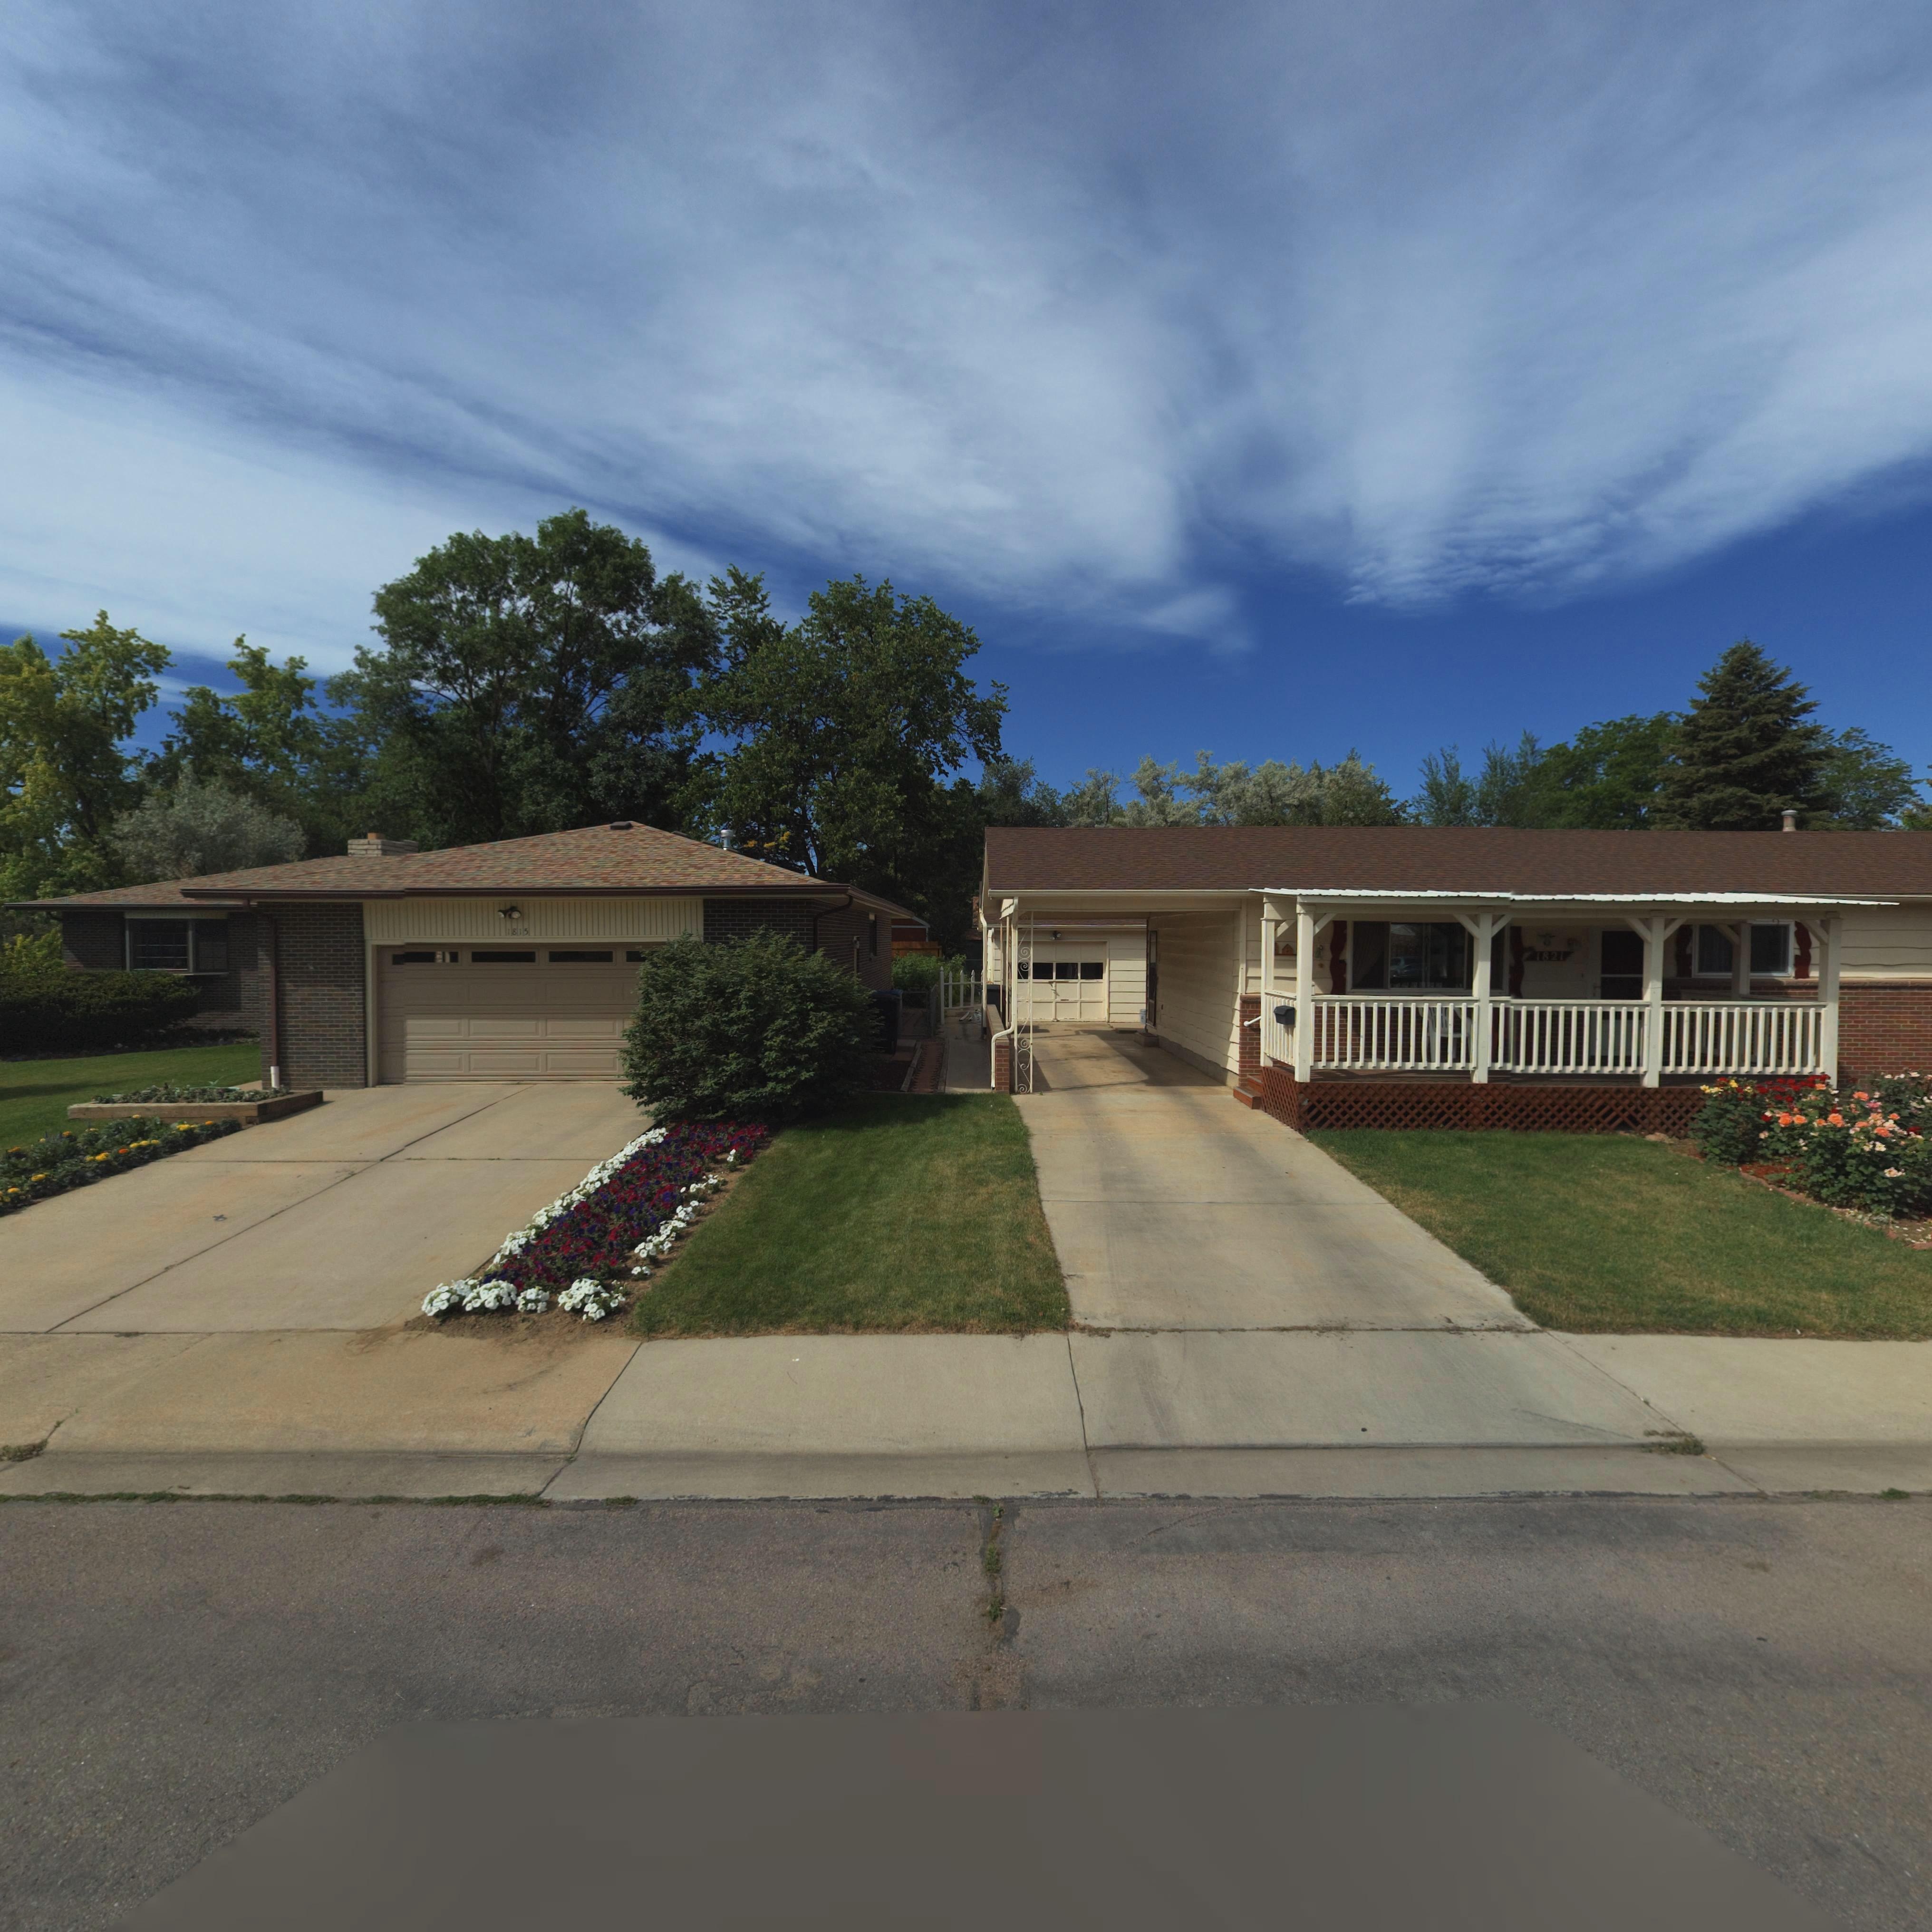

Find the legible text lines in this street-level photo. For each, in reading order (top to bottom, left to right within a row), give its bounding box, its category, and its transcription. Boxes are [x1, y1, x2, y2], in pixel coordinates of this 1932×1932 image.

[507, 927, 529, 936] StreetNumber: 1815
[1536, 950, 1564, 961] StreetNumber: 1821